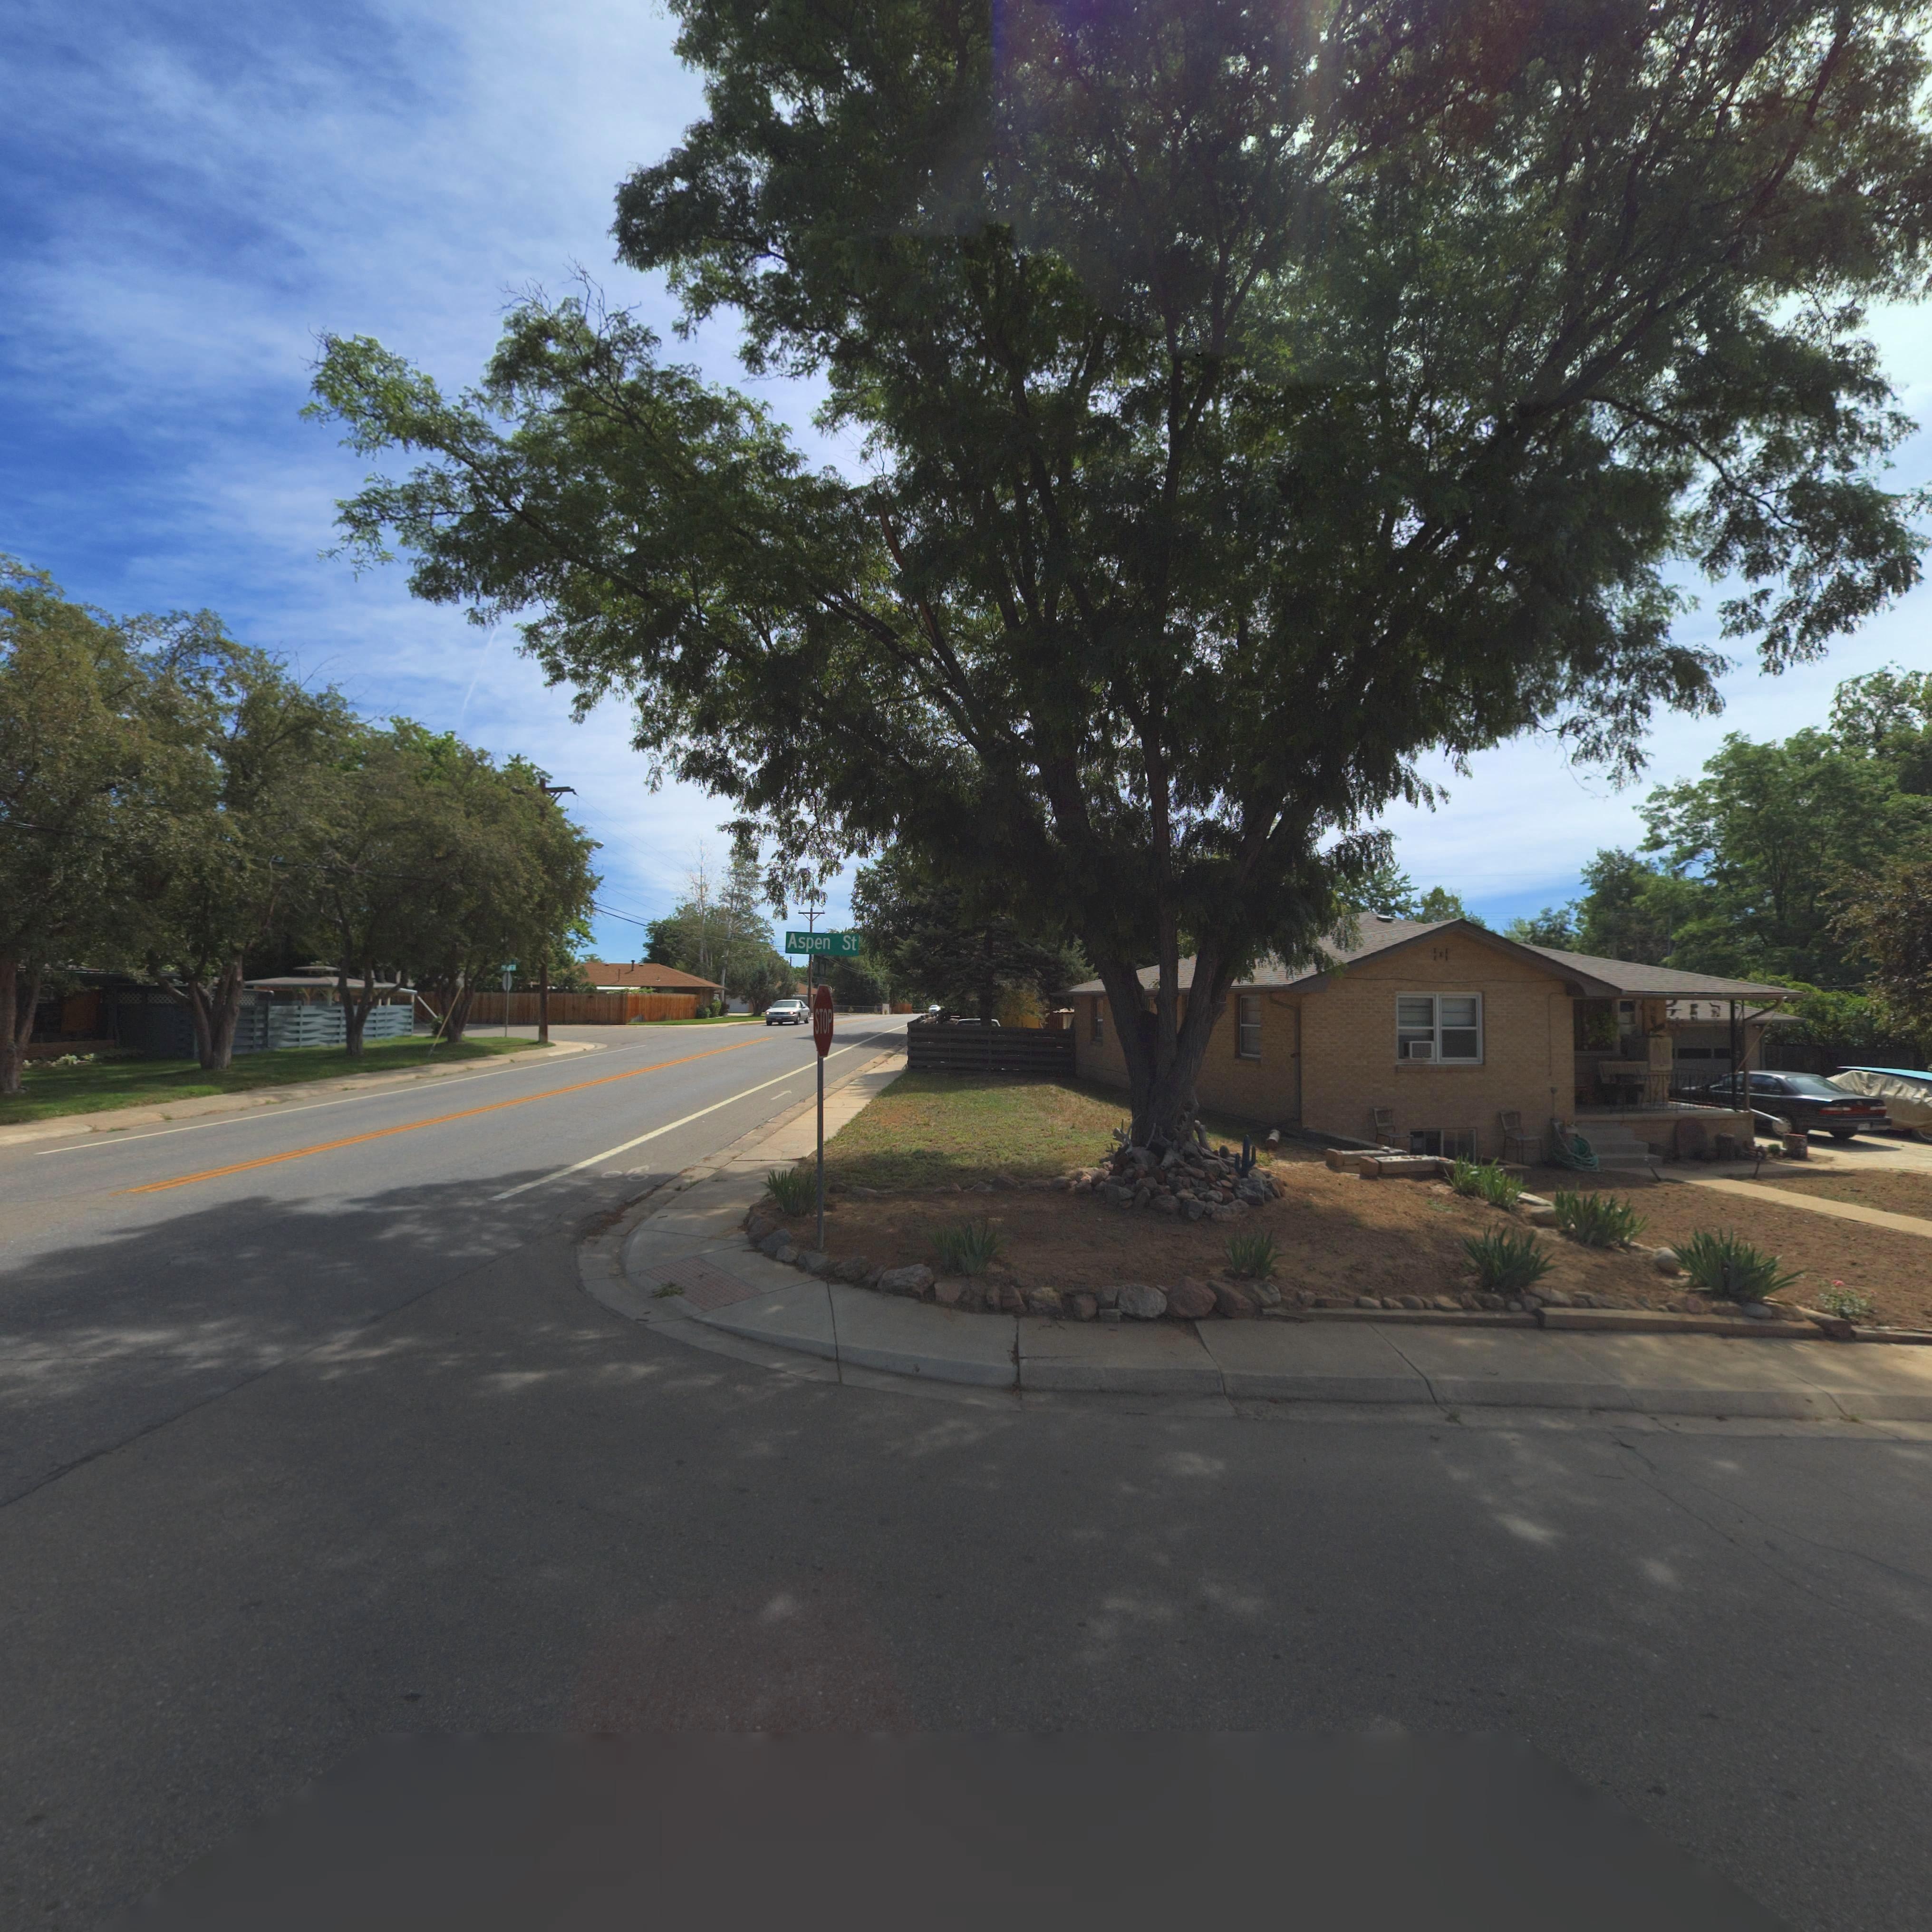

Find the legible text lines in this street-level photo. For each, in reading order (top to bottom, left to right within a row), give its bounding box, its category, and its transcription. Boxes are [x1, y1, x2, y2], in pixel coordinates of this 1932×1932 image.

[787, 933, 857, 952] StreetName: Aspen St